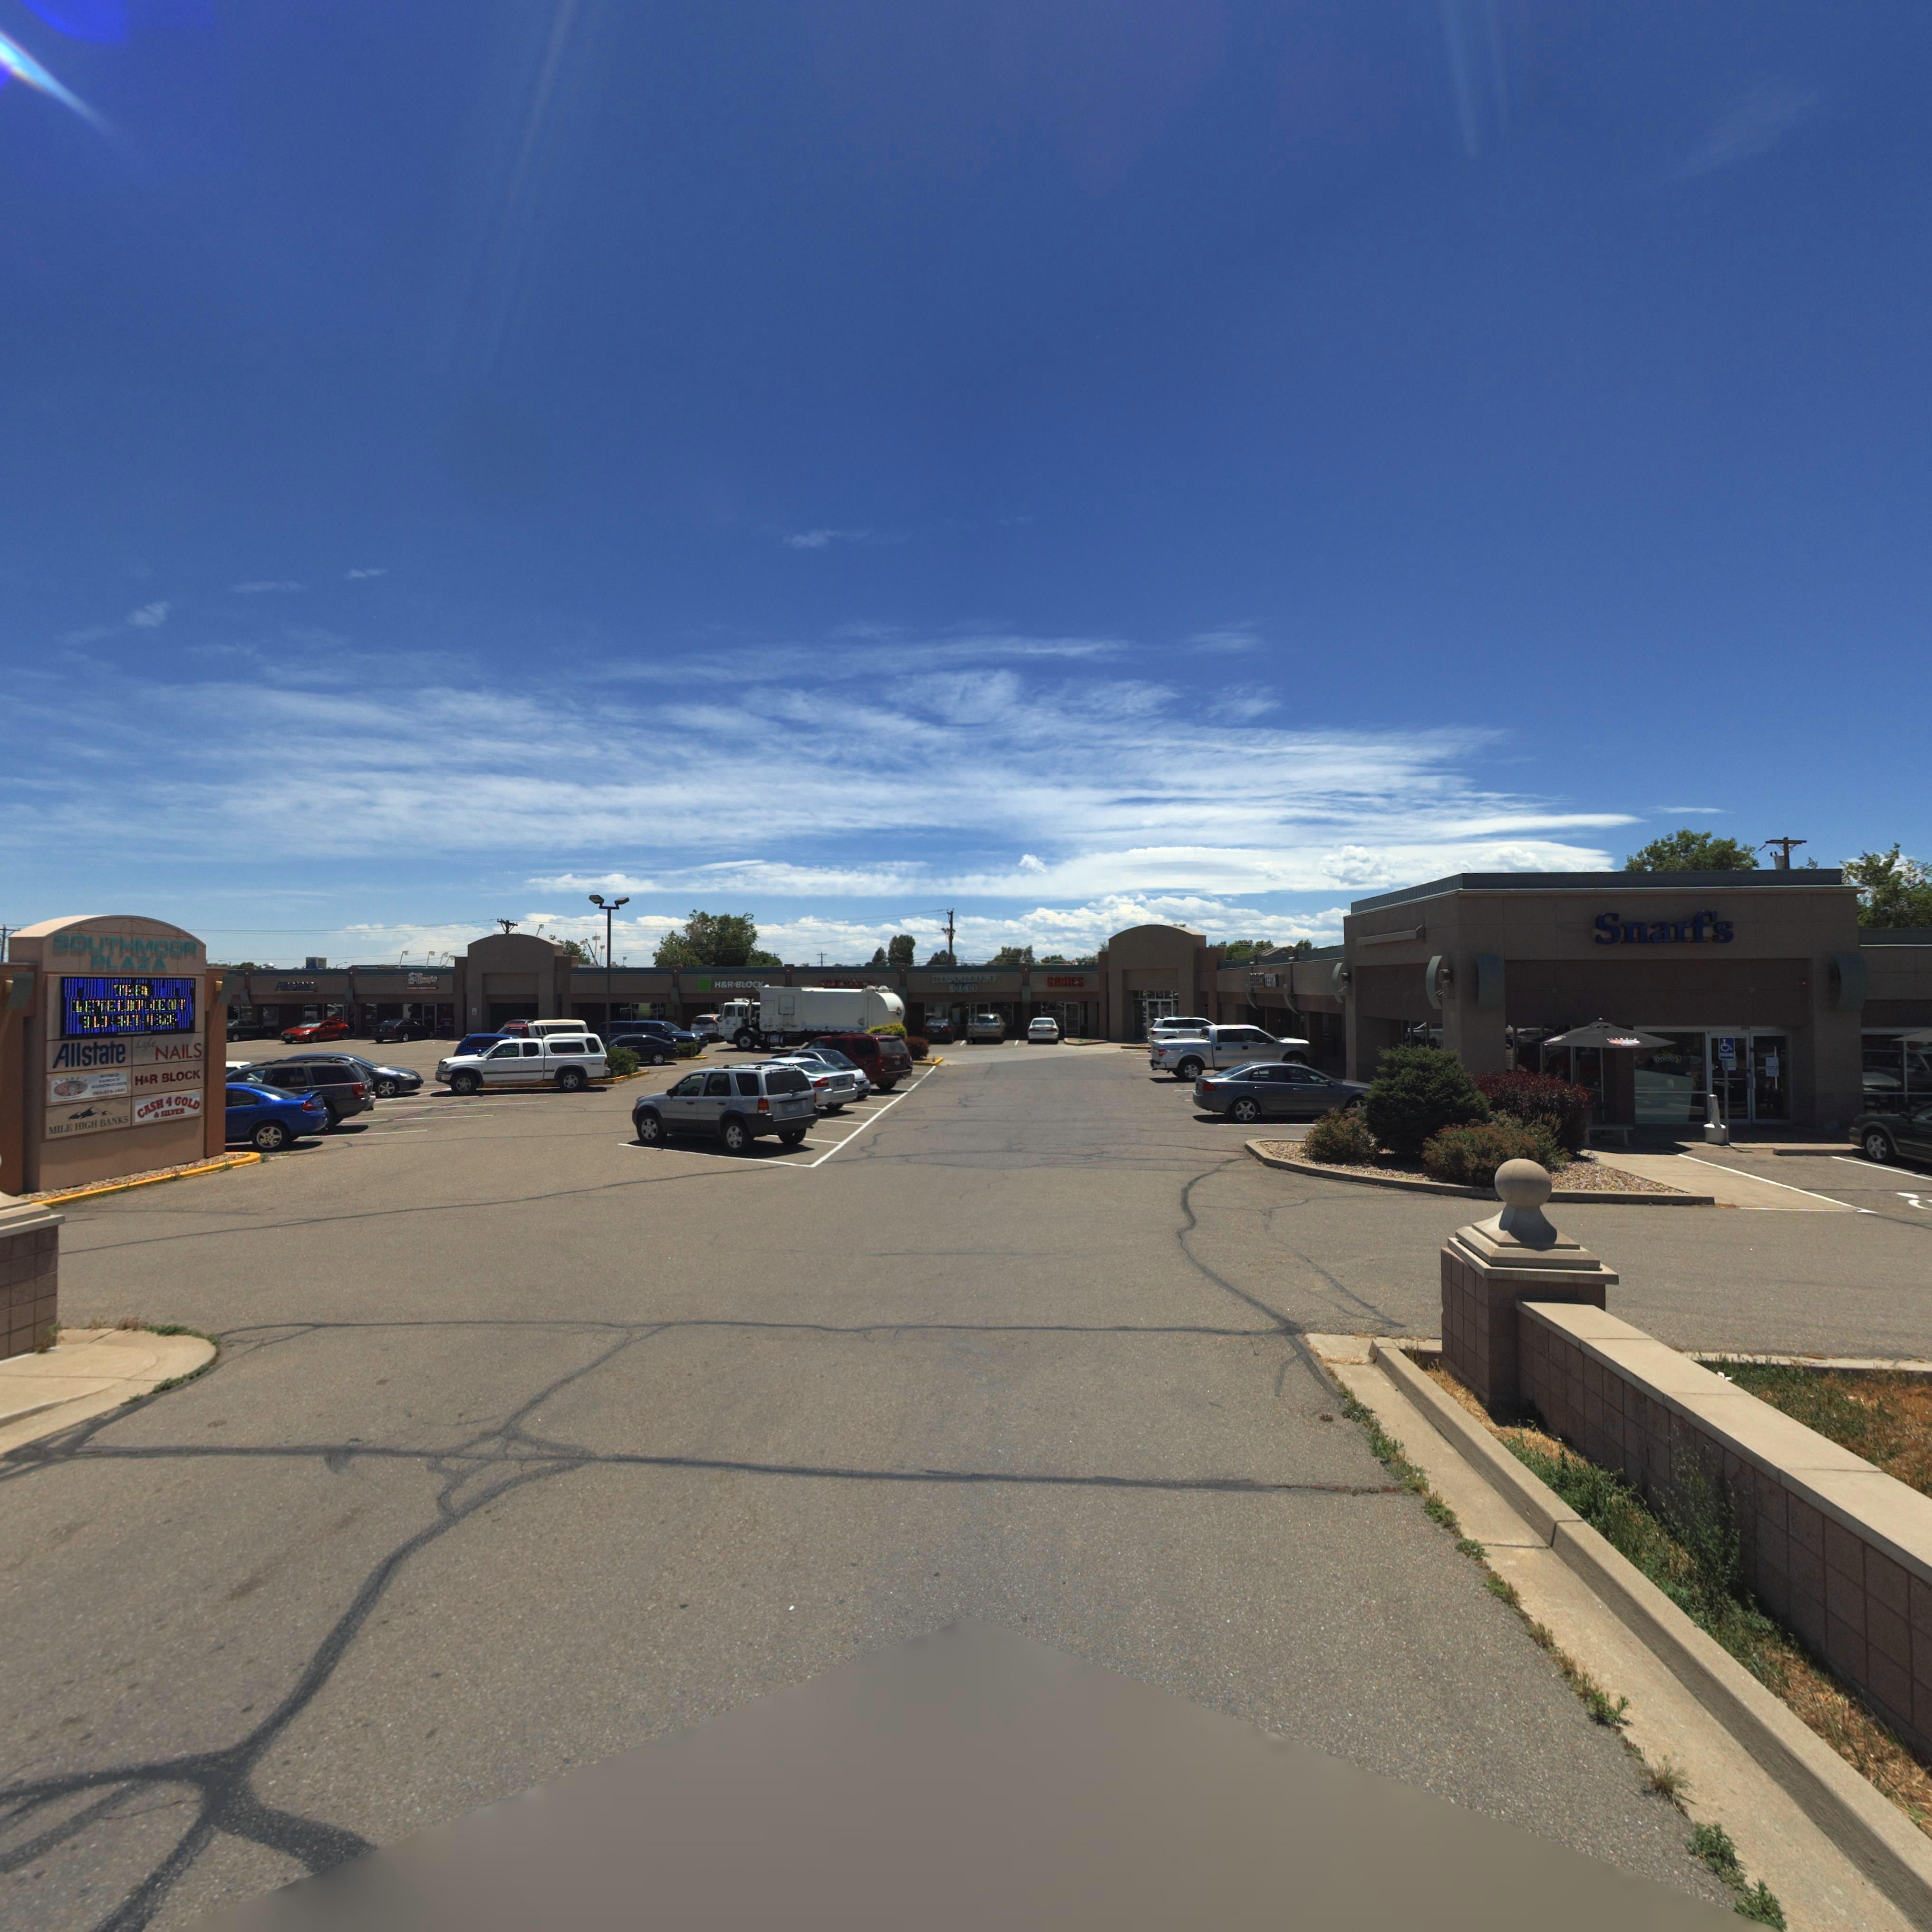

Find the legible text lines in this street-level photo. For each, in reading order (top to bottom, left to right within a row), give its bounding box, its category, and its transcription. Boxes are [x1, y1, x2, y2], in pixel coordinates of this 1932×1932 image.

[1594, 908, 1734, 946] BusinessName: Smarf*s
[273, 980, 318, 993] BusinessName: Allst***
[714, 980, 763, 988] StreetName: H&R BLOCK
[818, 978, 874, 989] None: LYLE NAIL*
[949, 983, 977, 992] BusinessName: 3033
[932, 975, 996, 983] BusinessName: DISTRICT
[1046, 976, 1084, 988] BusinessName: GAMES
[50, 1039, 126, 1069] BusinessName: Allstate
[134, 1036, 157, 1053] BusinessName: Lyle
[155, 1042, 203, 1061] BusinessName: NAILS
[134, 1070, 201, 1085] BusinessName: H*R BLOCK
[137, 1095, 200, 1119] BusinessName: CASH 4 GOLD
[154, 1107, 184, 1118] BusinessName: * SILVER
[48, 1115, 129, 1135] BusinessName: MILE HIGH BANKS